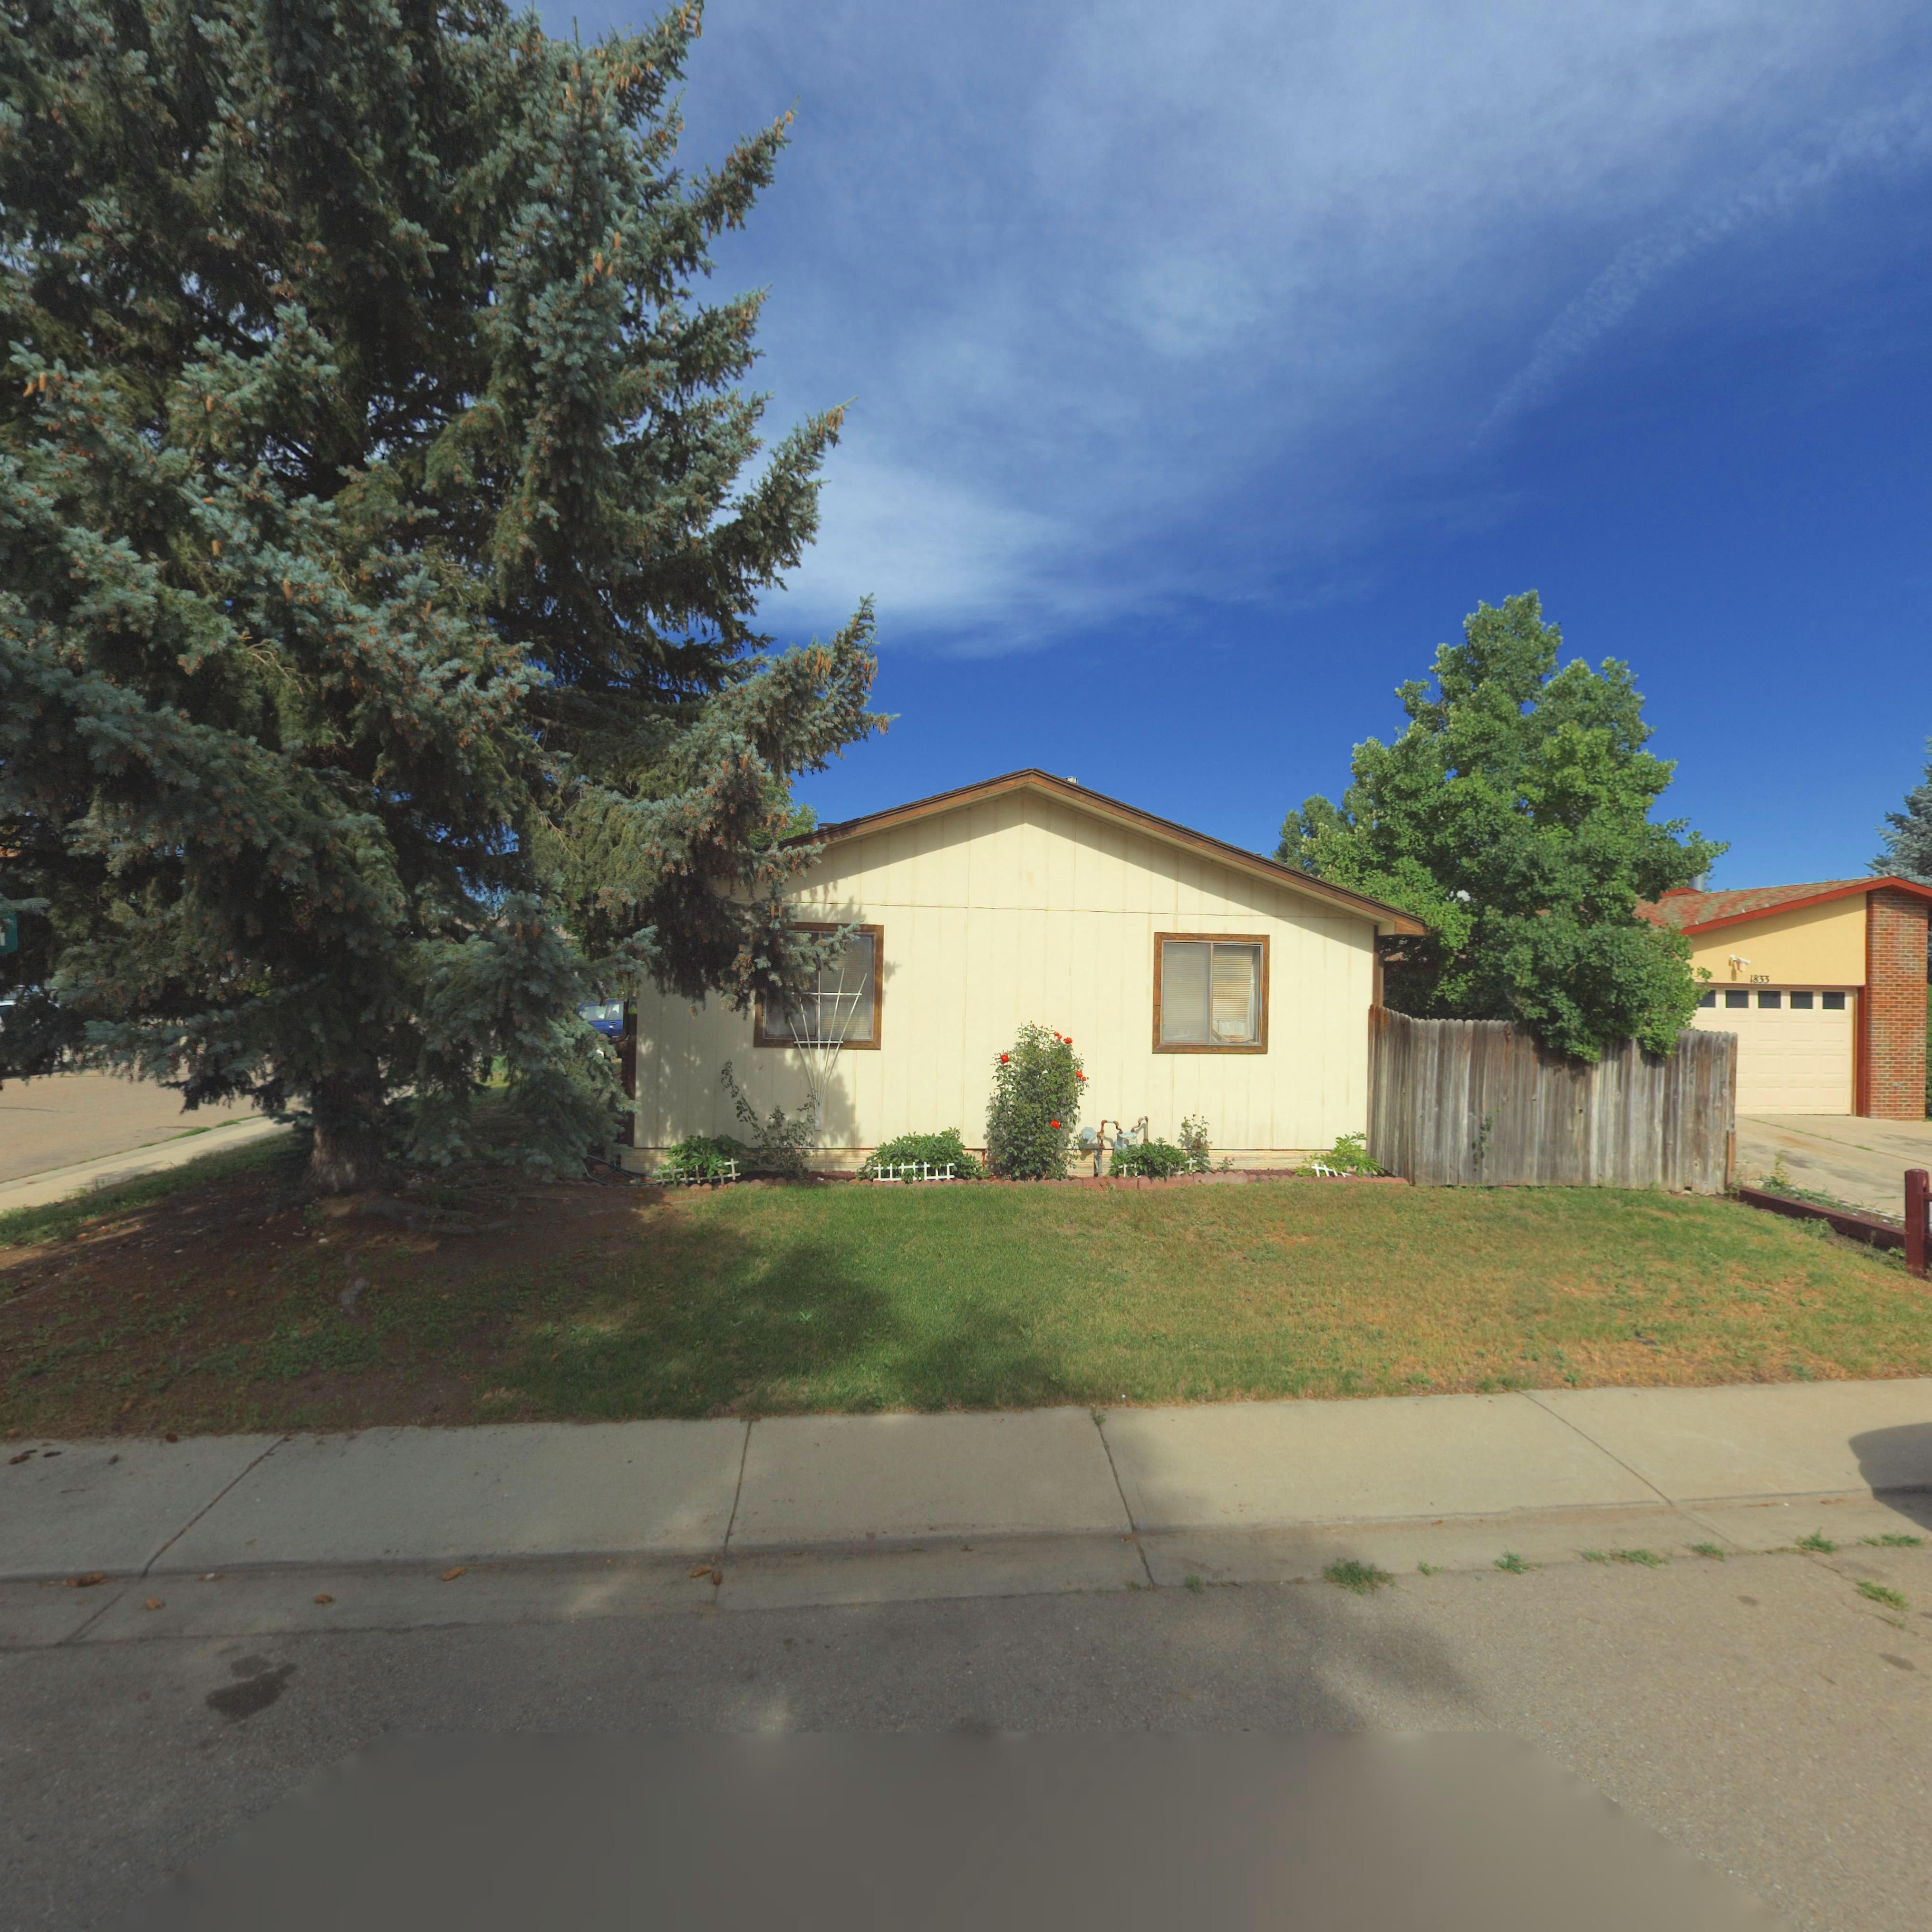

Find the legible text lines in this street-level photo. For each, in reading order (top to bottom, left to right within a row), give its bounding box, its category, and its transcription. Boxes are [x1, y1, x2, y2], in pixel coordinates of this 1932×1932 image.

[1749, 974, 1770, 984] StreetNumber: 1833